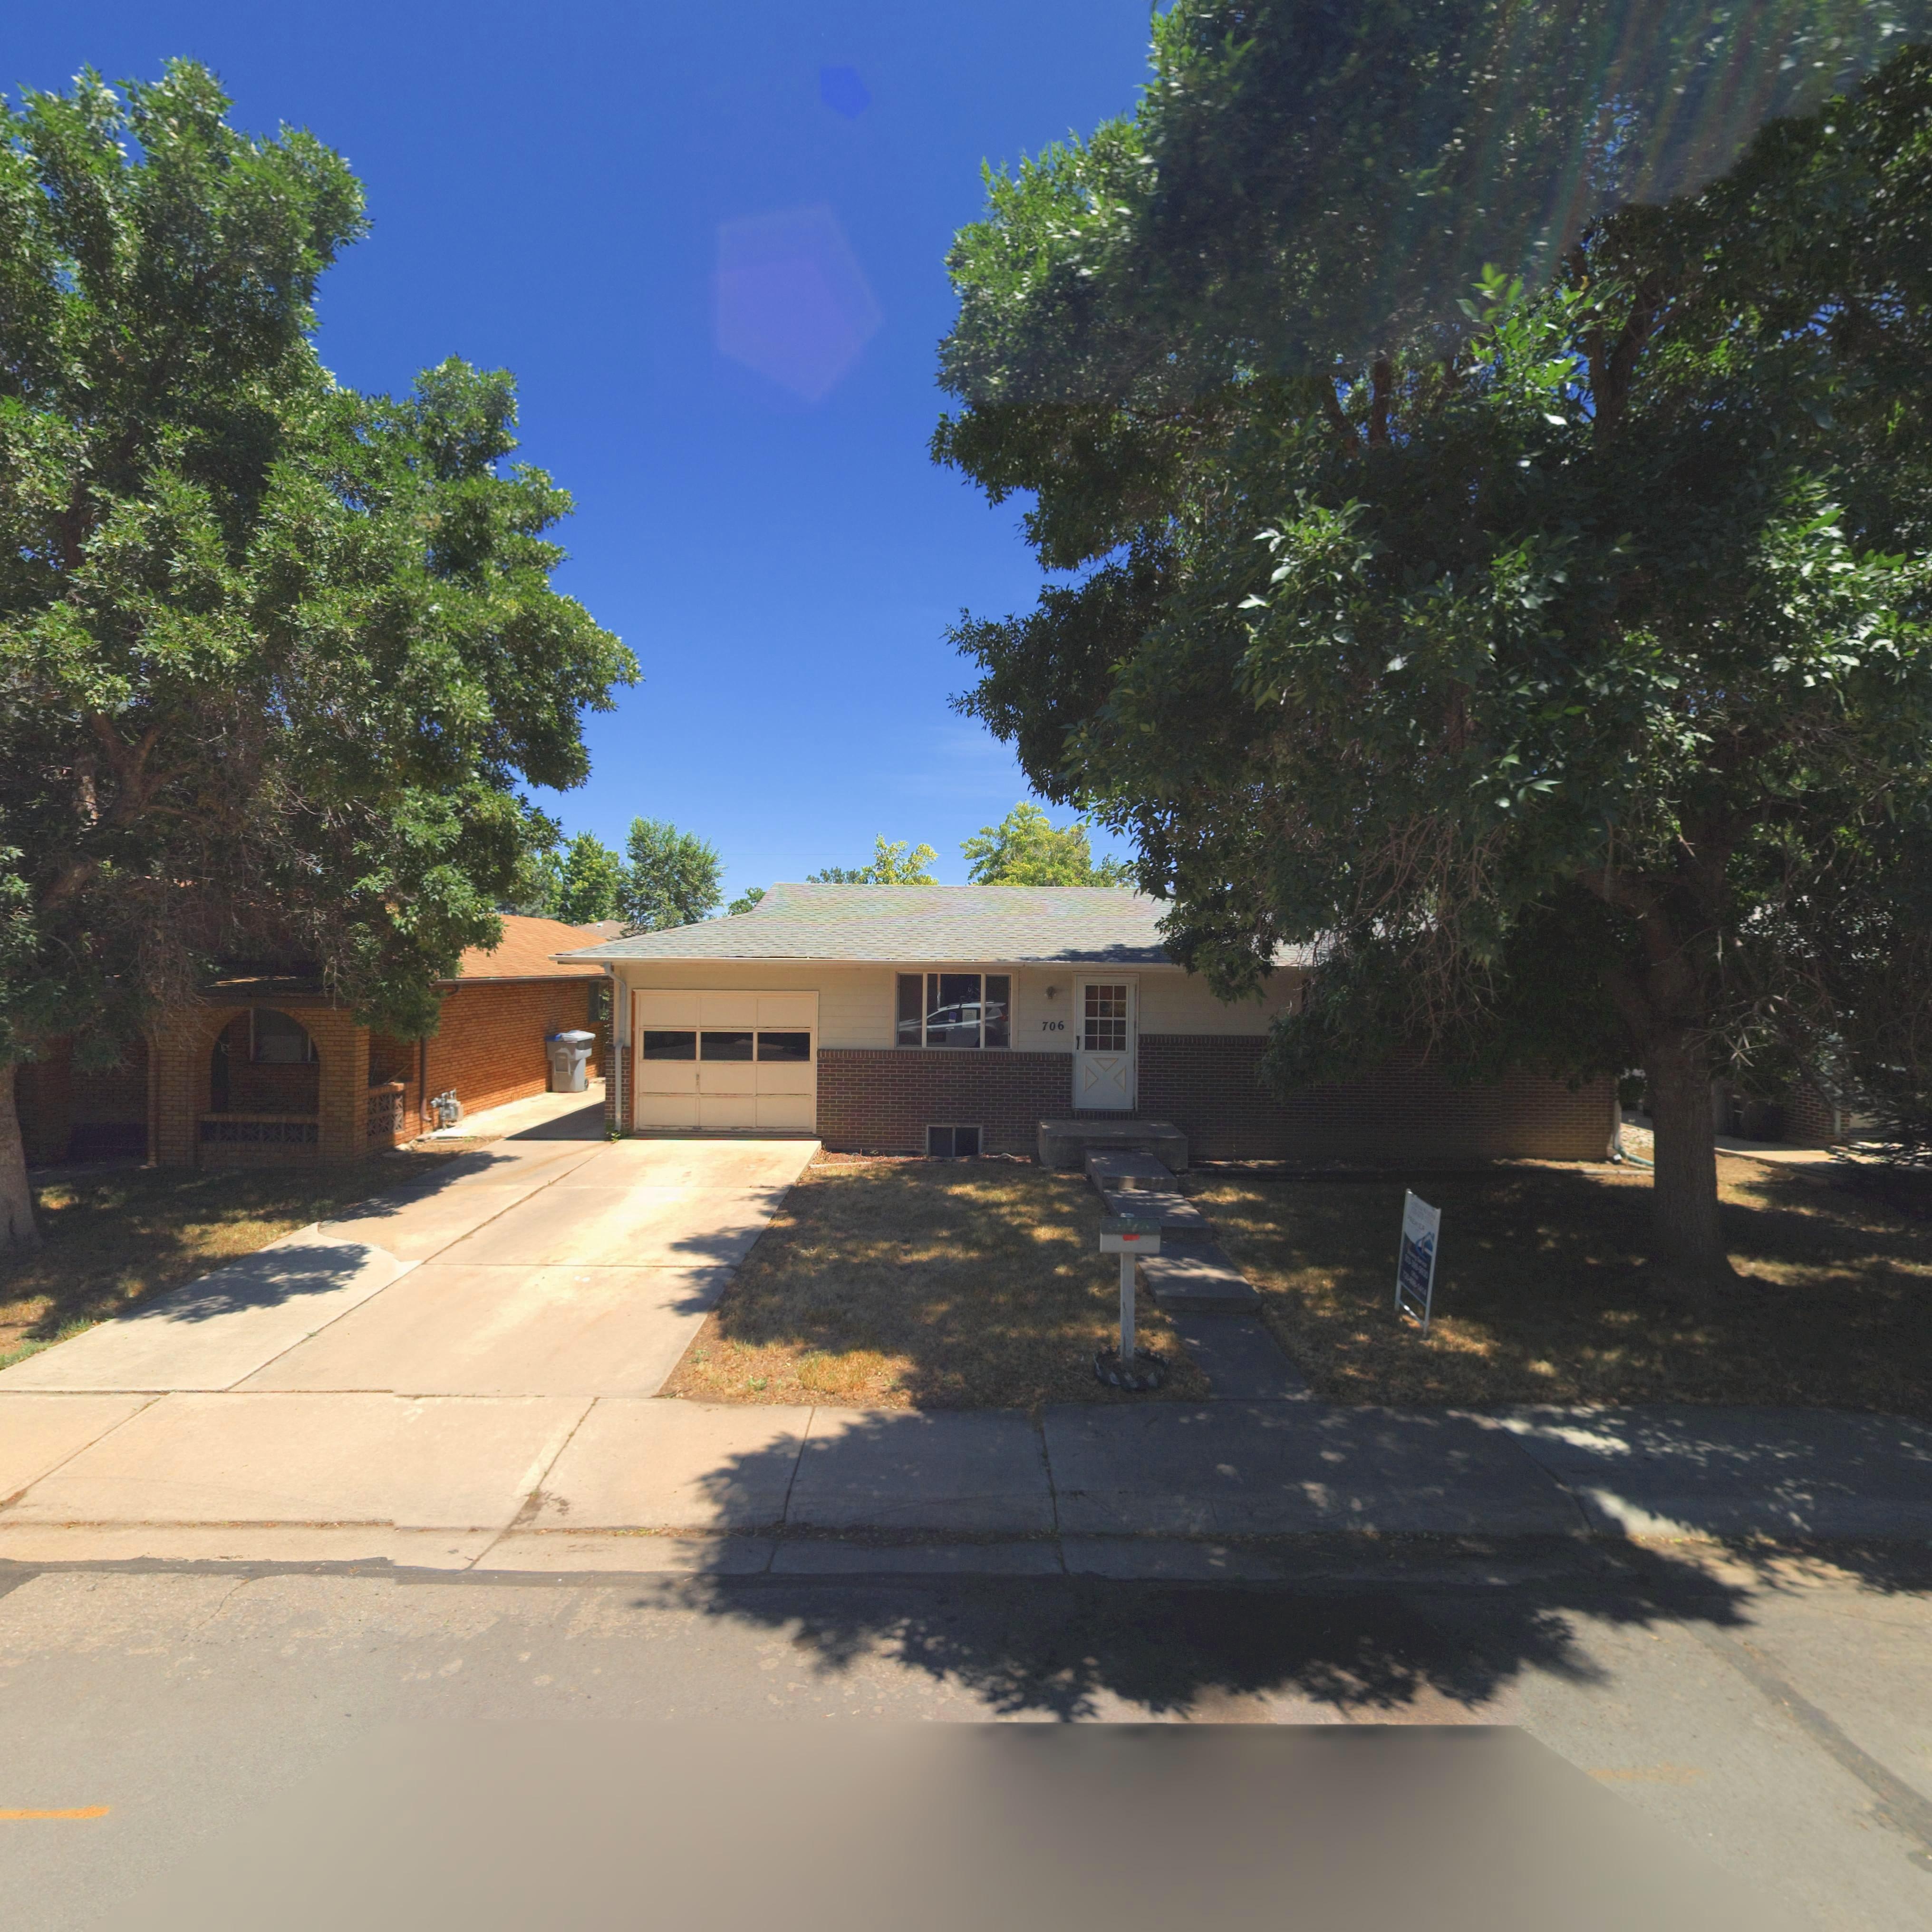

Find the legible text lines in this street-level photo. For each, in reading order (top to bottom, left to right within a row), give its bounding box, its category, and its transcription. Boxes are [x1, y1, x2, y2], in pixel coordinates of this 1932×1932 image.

[1042, 1020, 1064, 1031] StreetNumber: 706